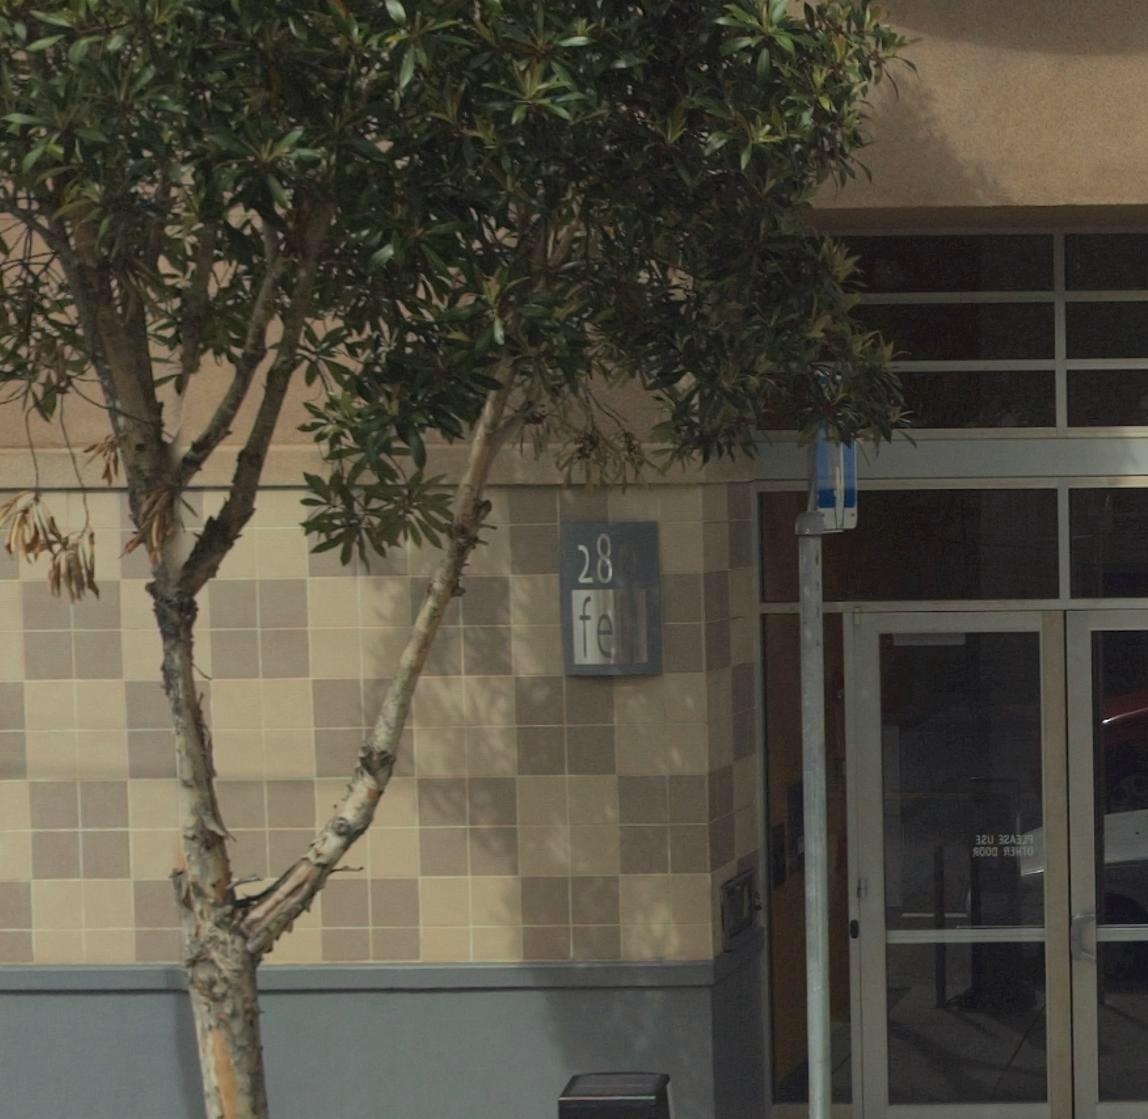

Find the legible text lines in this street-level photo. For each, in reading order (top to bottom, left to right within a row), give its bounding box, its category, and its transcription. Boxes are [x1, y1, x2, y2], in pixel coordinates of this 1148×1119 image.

[574, 531, 639, 589] StreetNumber: 280
[578, 592, 615, 661] None: fe
[972, 845, 1033, 856] None: *OO* **HTO
[974, 832, 1033, 846] None: **U **A***